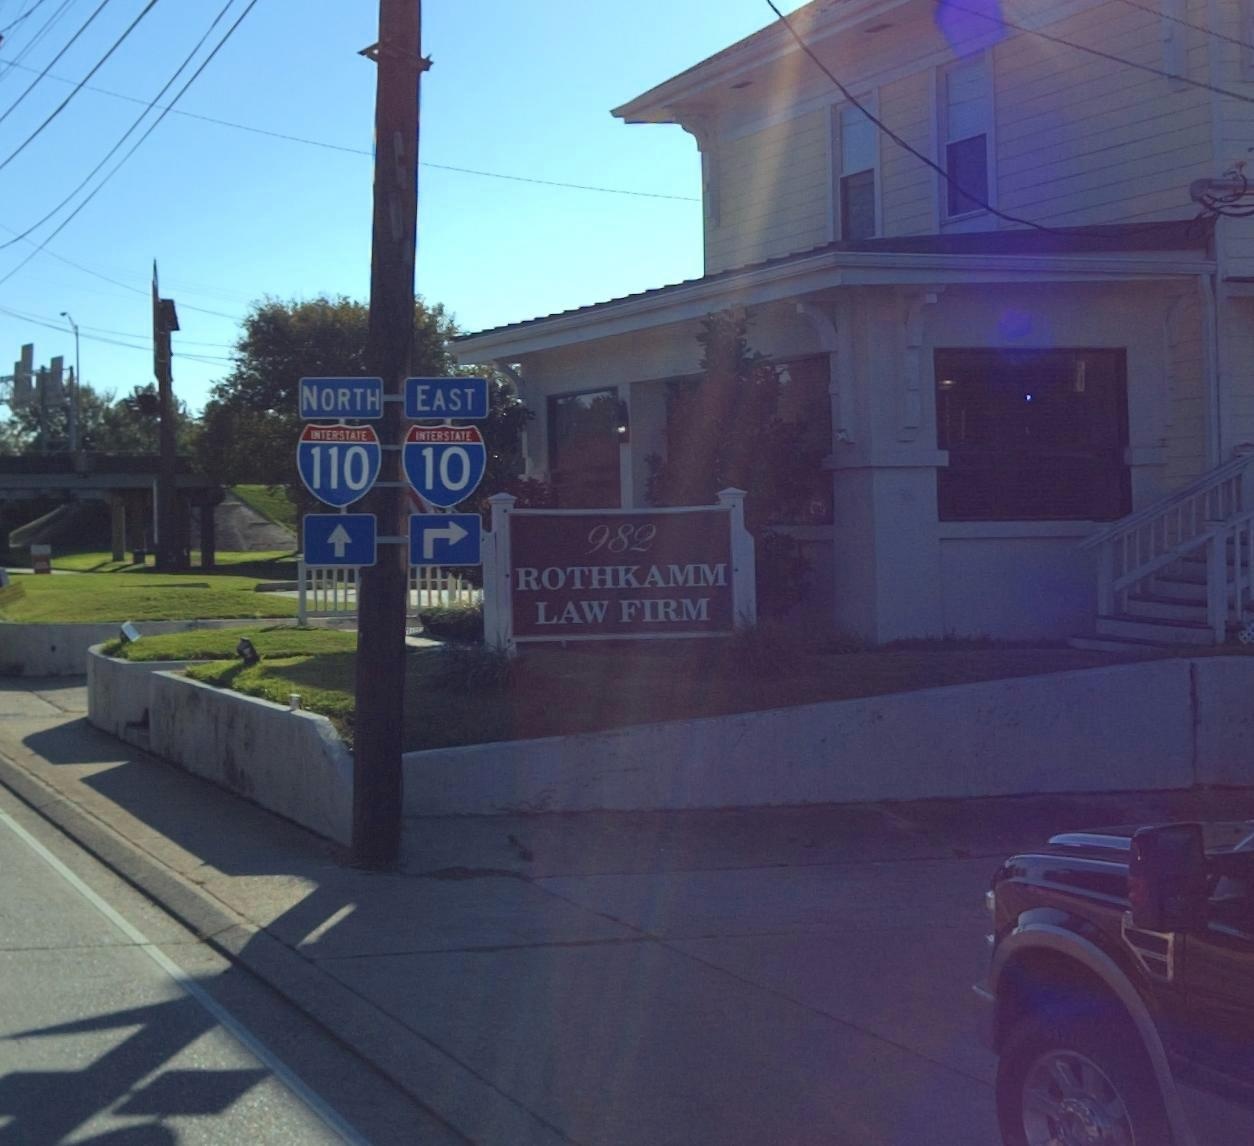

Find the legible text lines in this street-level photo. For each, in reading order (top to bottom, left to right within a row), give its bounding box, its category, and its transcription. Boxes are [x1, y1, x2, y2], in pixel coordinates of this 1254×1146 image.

[300, 382, 381, 414] None: NORTH
[414, 382, 478, 413] None: EAST
[308, 427, 369, 442] None: INTERSTATE
[412, 429, 476, 444] None: INTERSTATE
[308, 443, 372, 493] StreetNumber: 110
[418, 444, 473, 494] StreetNumber: 10
[580, 522, 660, 557] StreetNumber: 982
[512, 561, 730, 592] BusinessName: ROTHKAMM
[533, 595, 713, 627] BusinessName: LAW FIRM